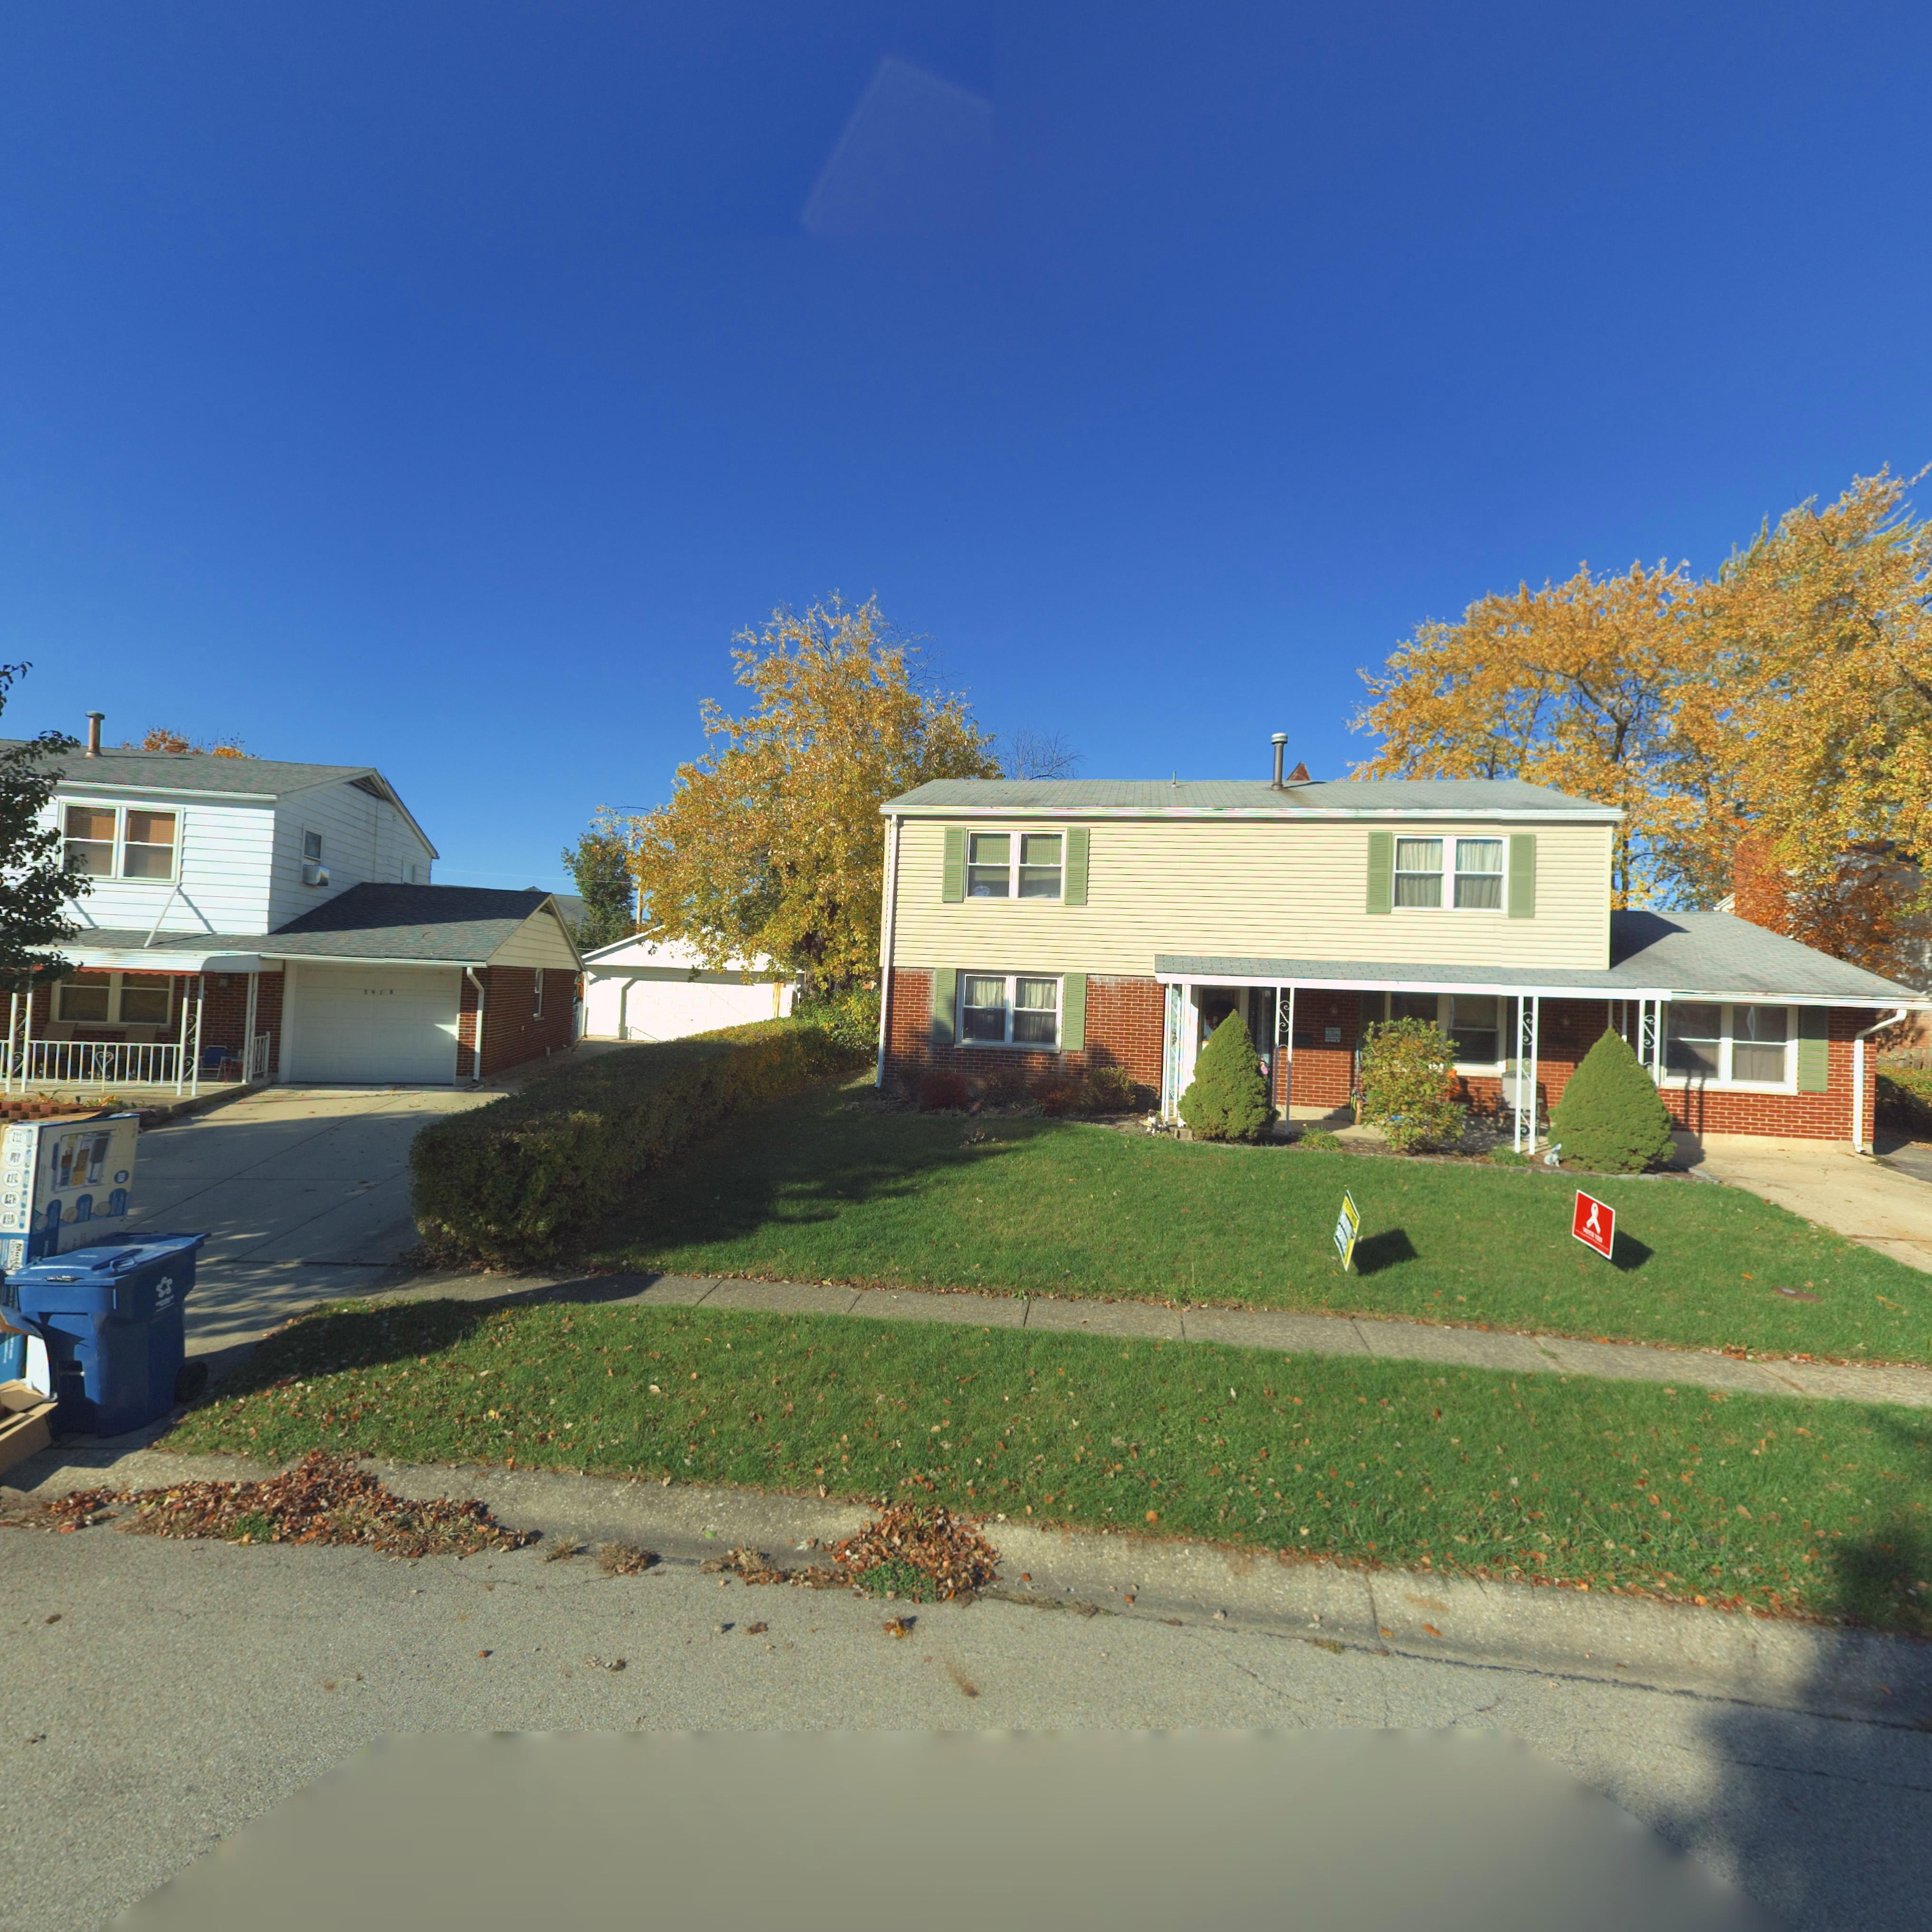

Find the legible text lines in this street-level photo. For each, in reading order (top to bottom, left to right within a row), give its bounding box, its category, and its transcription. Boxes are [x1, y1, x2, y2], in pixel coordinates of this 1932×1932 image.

[362, 988, 395, 996] StreetNumber: 5918
[1247, 1001, 1256, 1033] StreetNumber: *912